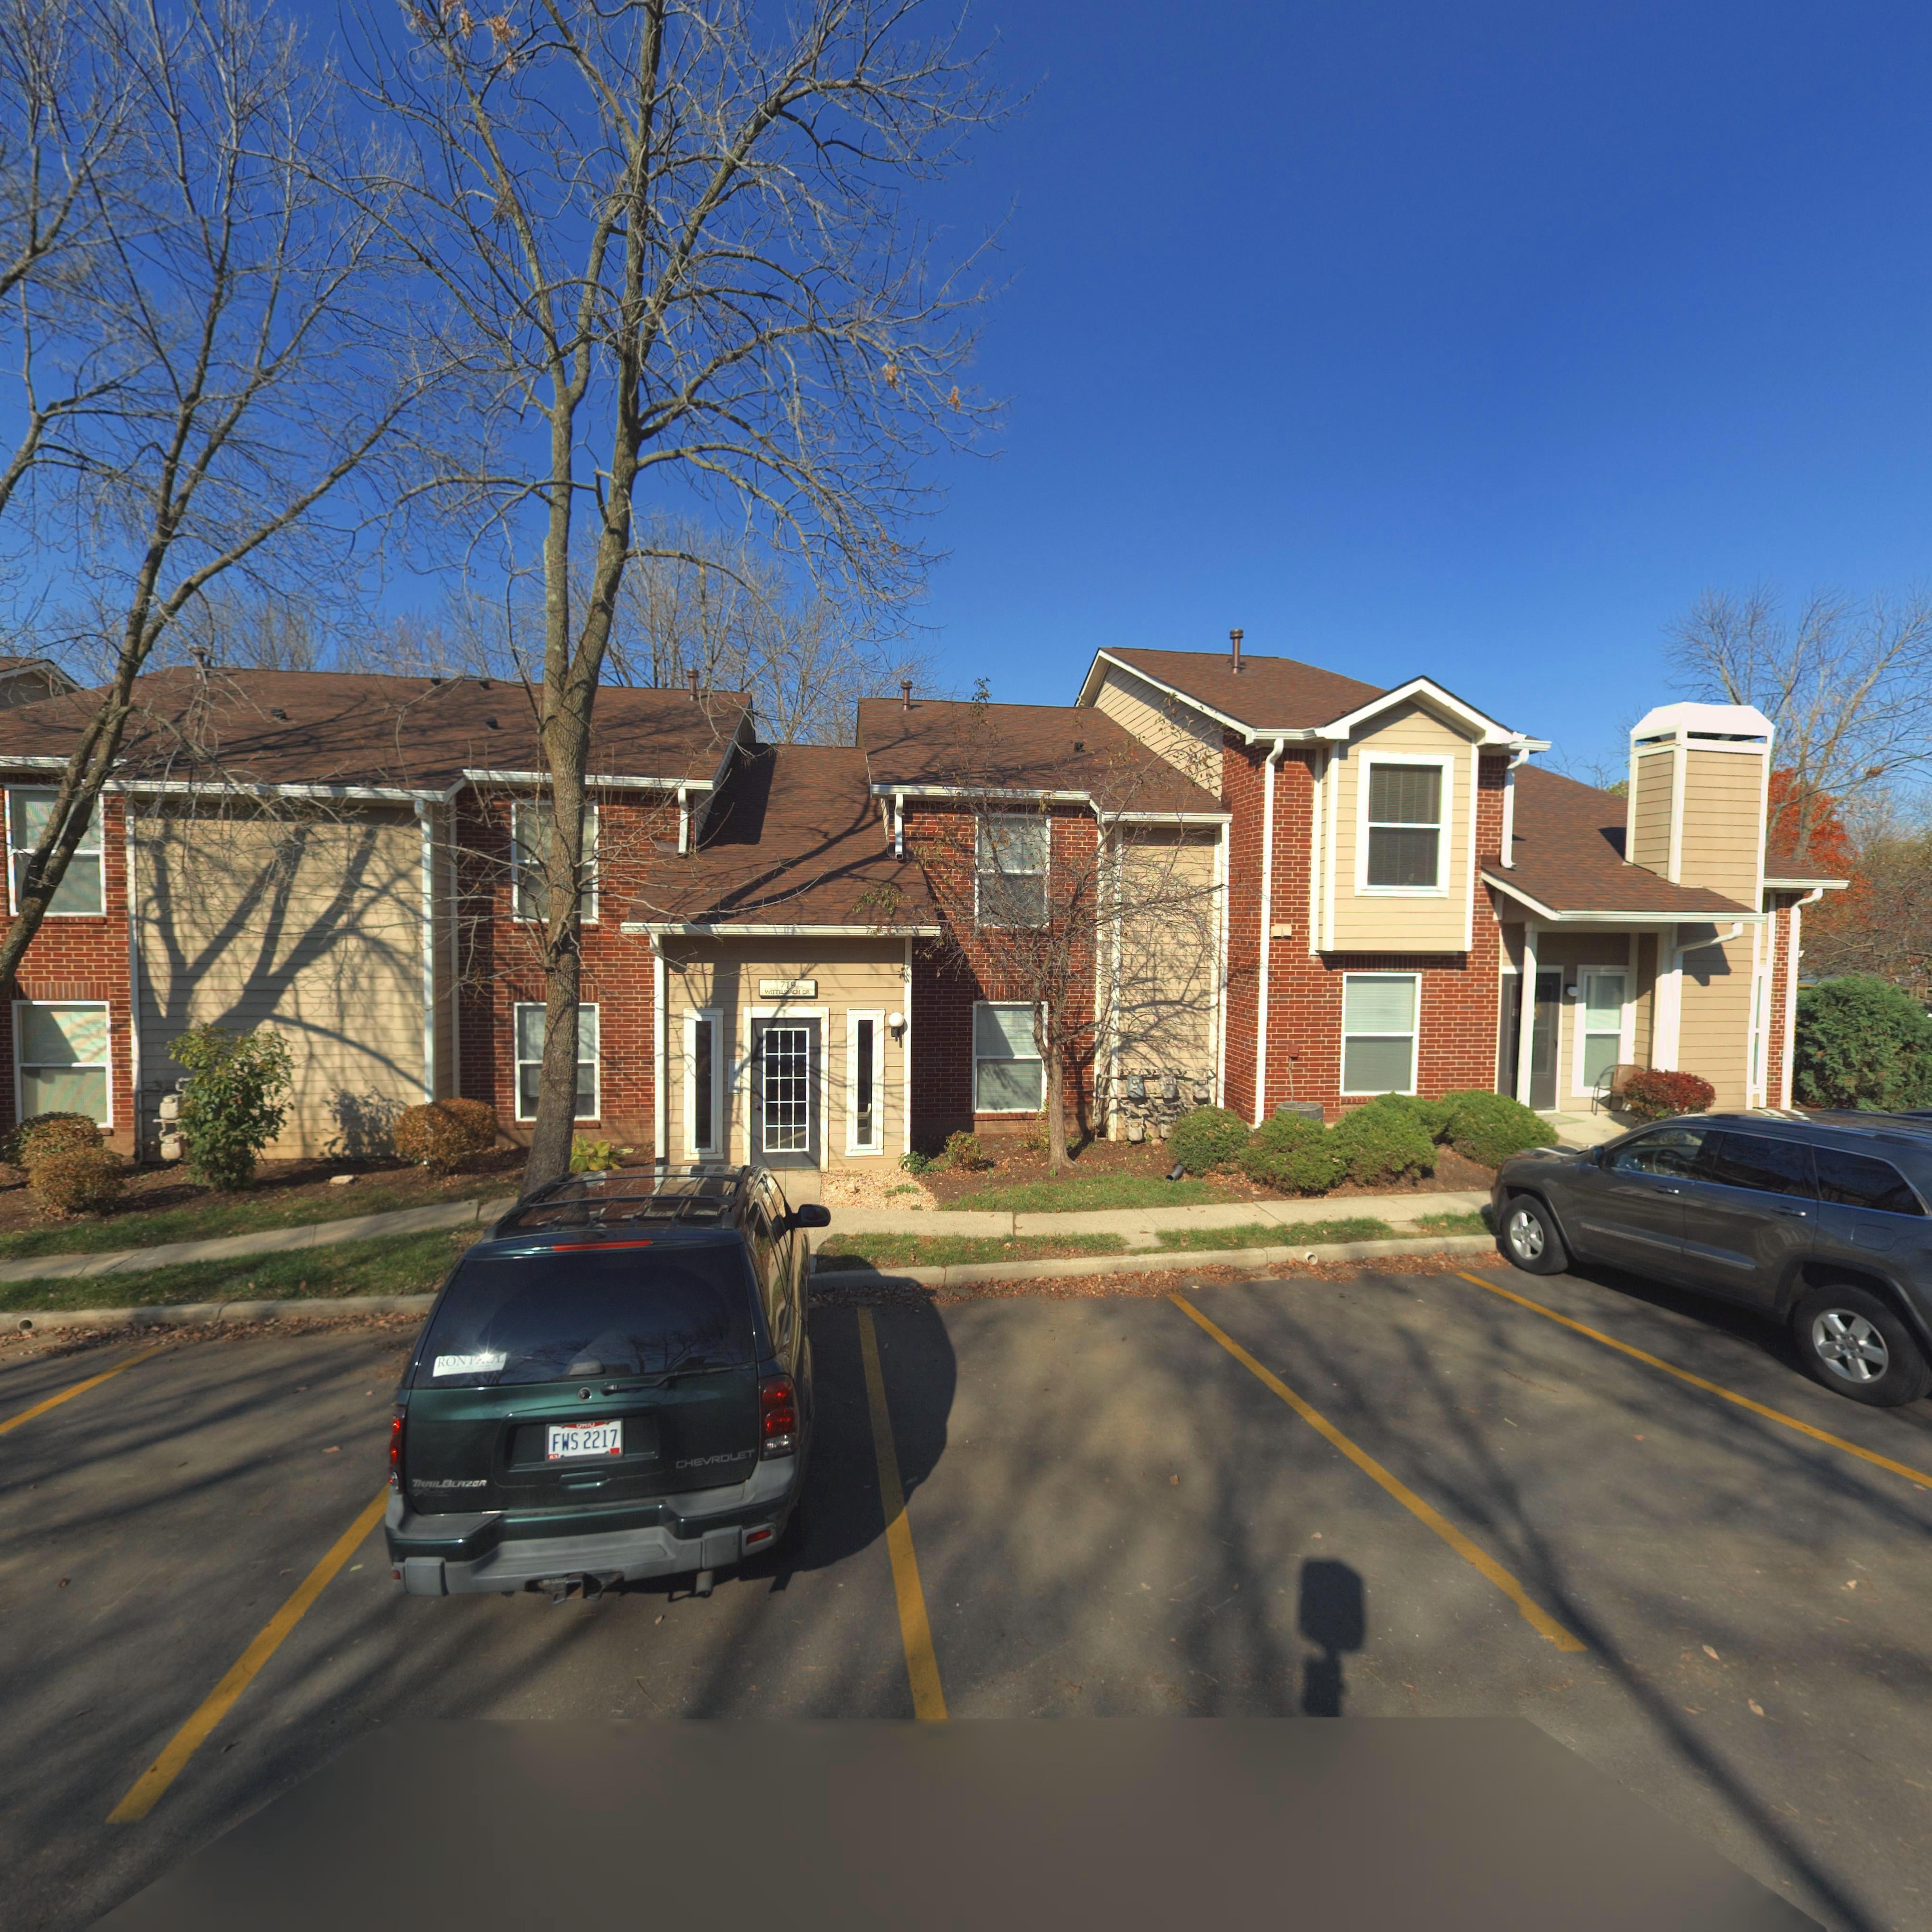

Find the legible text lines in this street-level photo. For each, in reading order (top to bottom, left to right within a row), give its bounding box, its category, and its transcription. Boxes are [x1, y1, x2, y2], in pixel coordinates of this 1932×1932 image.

[779, 980, 797, 990] StreetNumber: 719
[435, 1353, 469, 1370] None: RON
[551, 1426, 620, 1455] None: FWS 2217
[674, 1446, 757, 1471] None: CHEVROLET
[409, 1477, 490, 1489] None: TRAILBLAZER